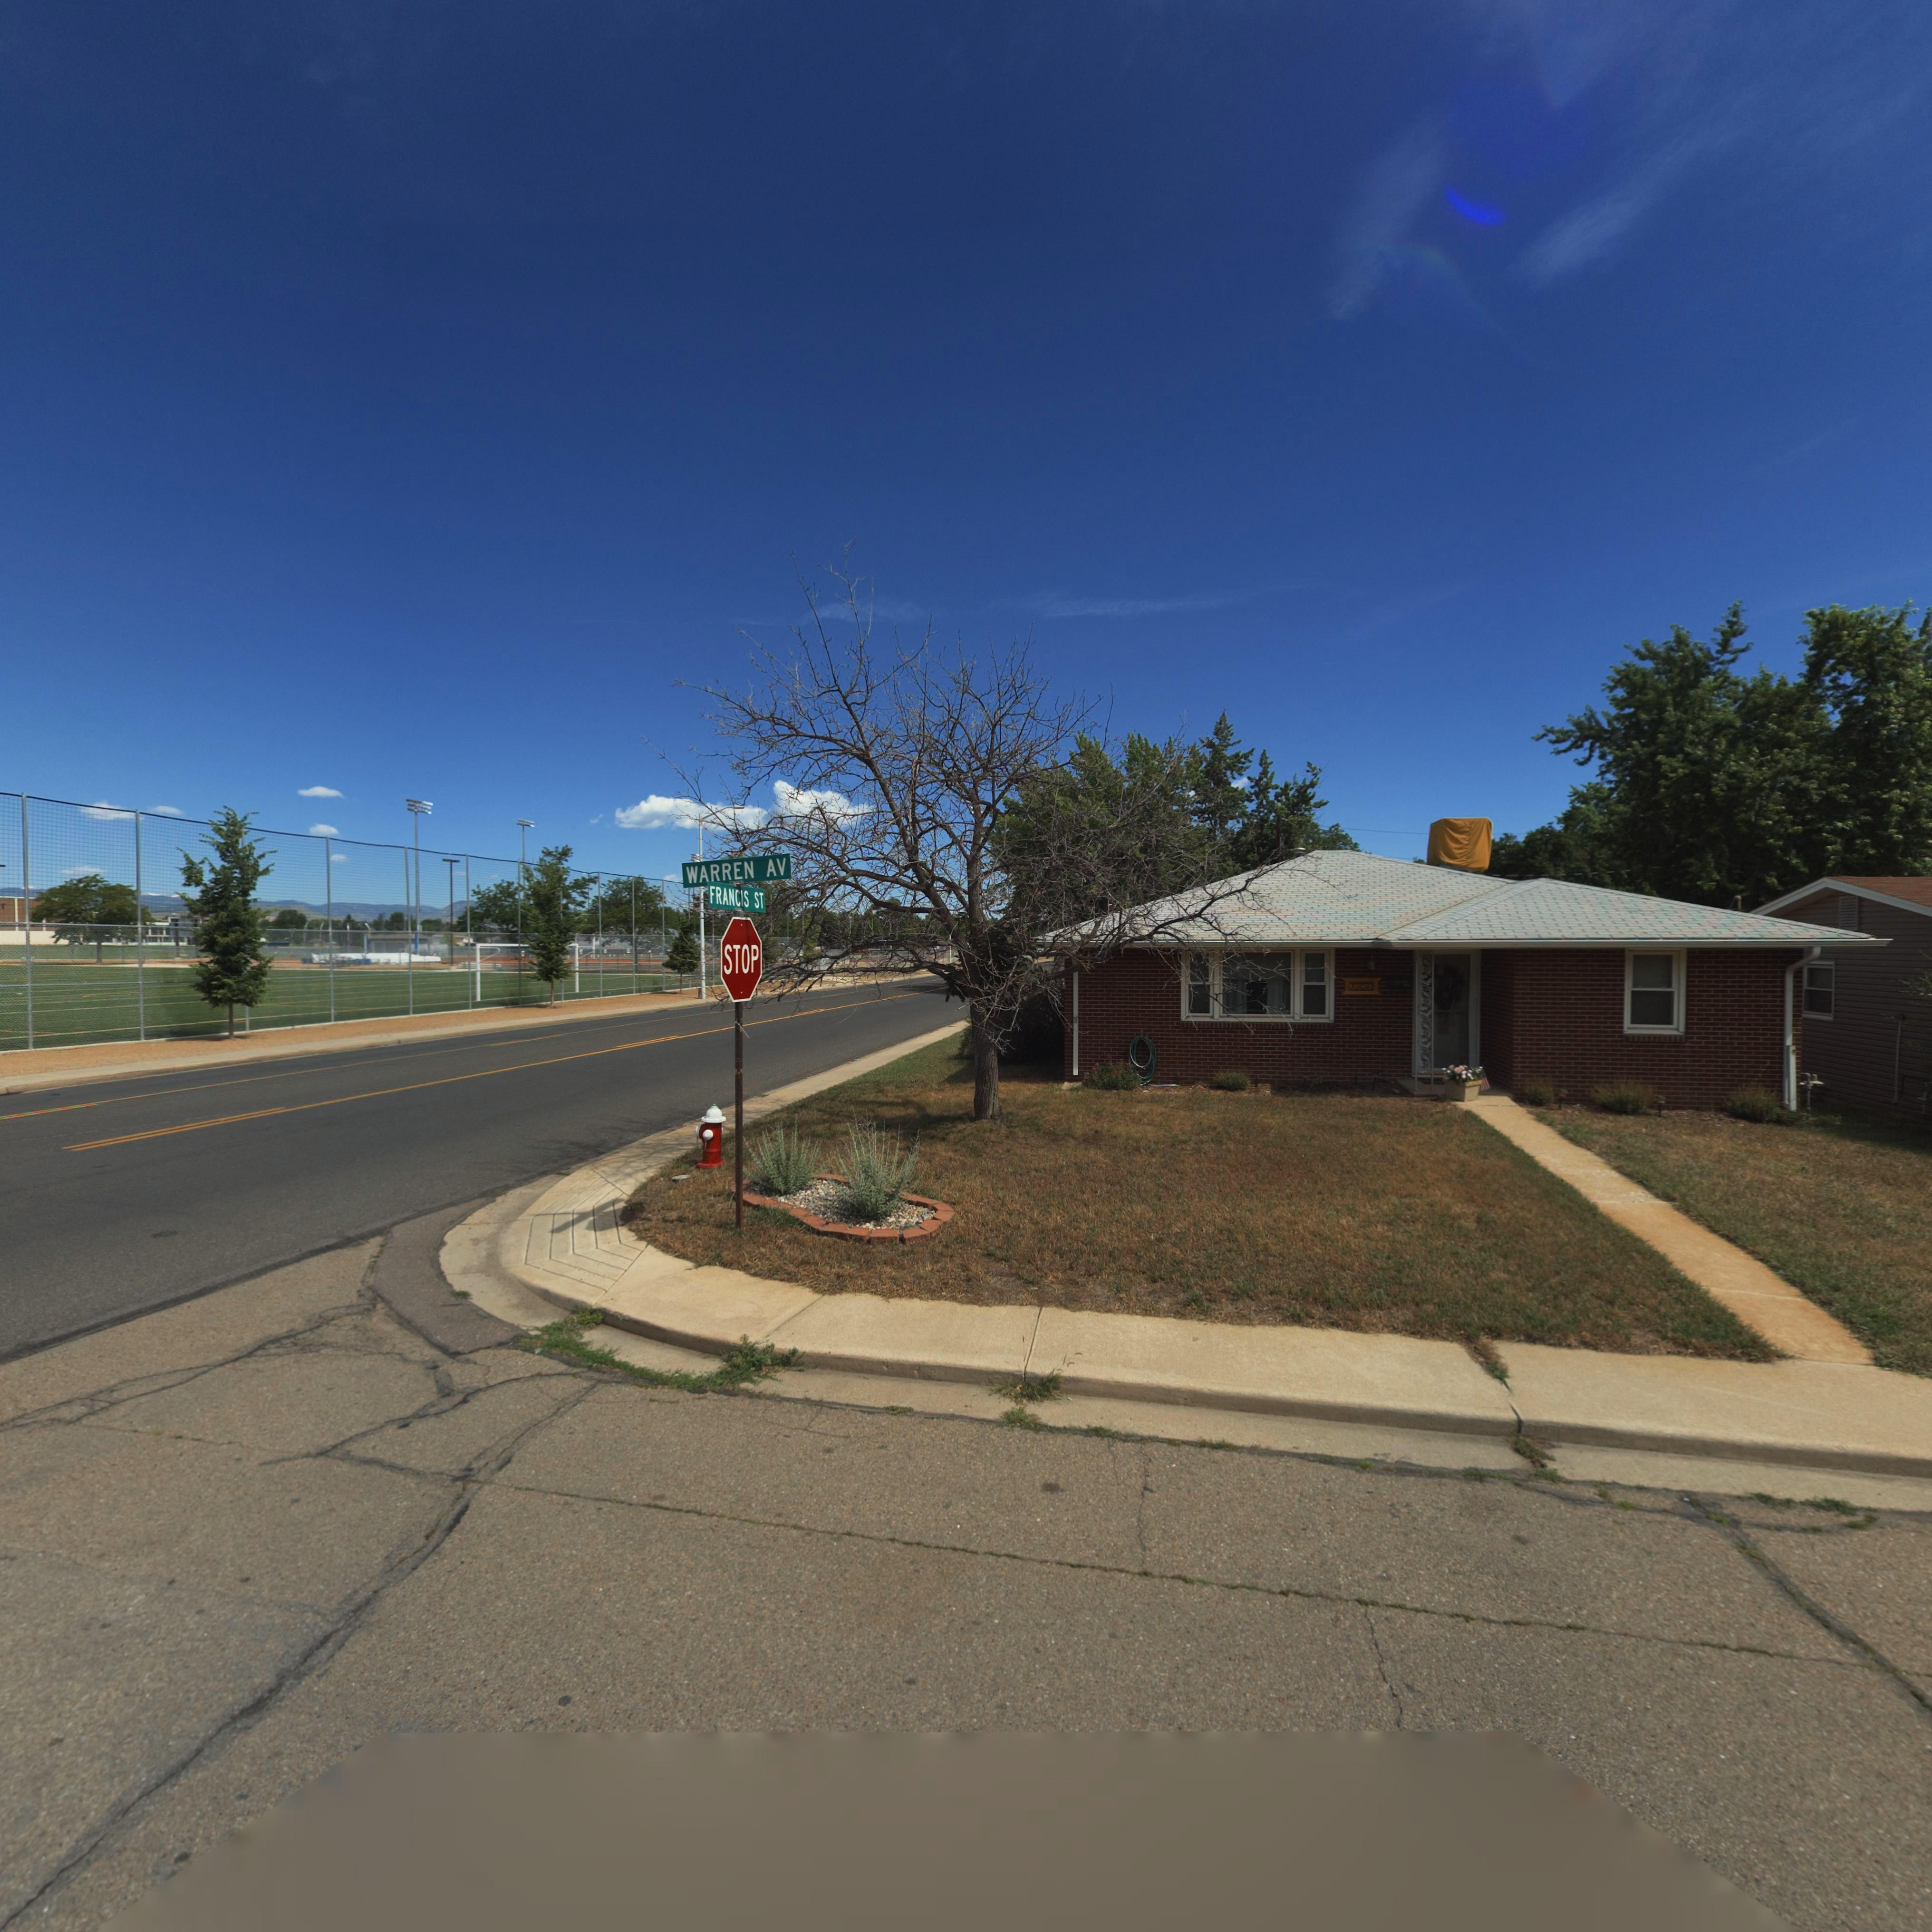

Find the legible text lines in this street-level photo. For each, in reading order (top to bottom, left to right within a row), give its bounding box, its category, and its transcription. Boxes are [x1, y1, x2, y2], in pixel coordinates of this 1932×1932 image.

[686, 857, 787, 884] StreetName: WARREN AV
[709, 885, 764, 909] BusinessName: FRANCIS ST
[1348, 981, 1374, 992] StreetNumber: 1553